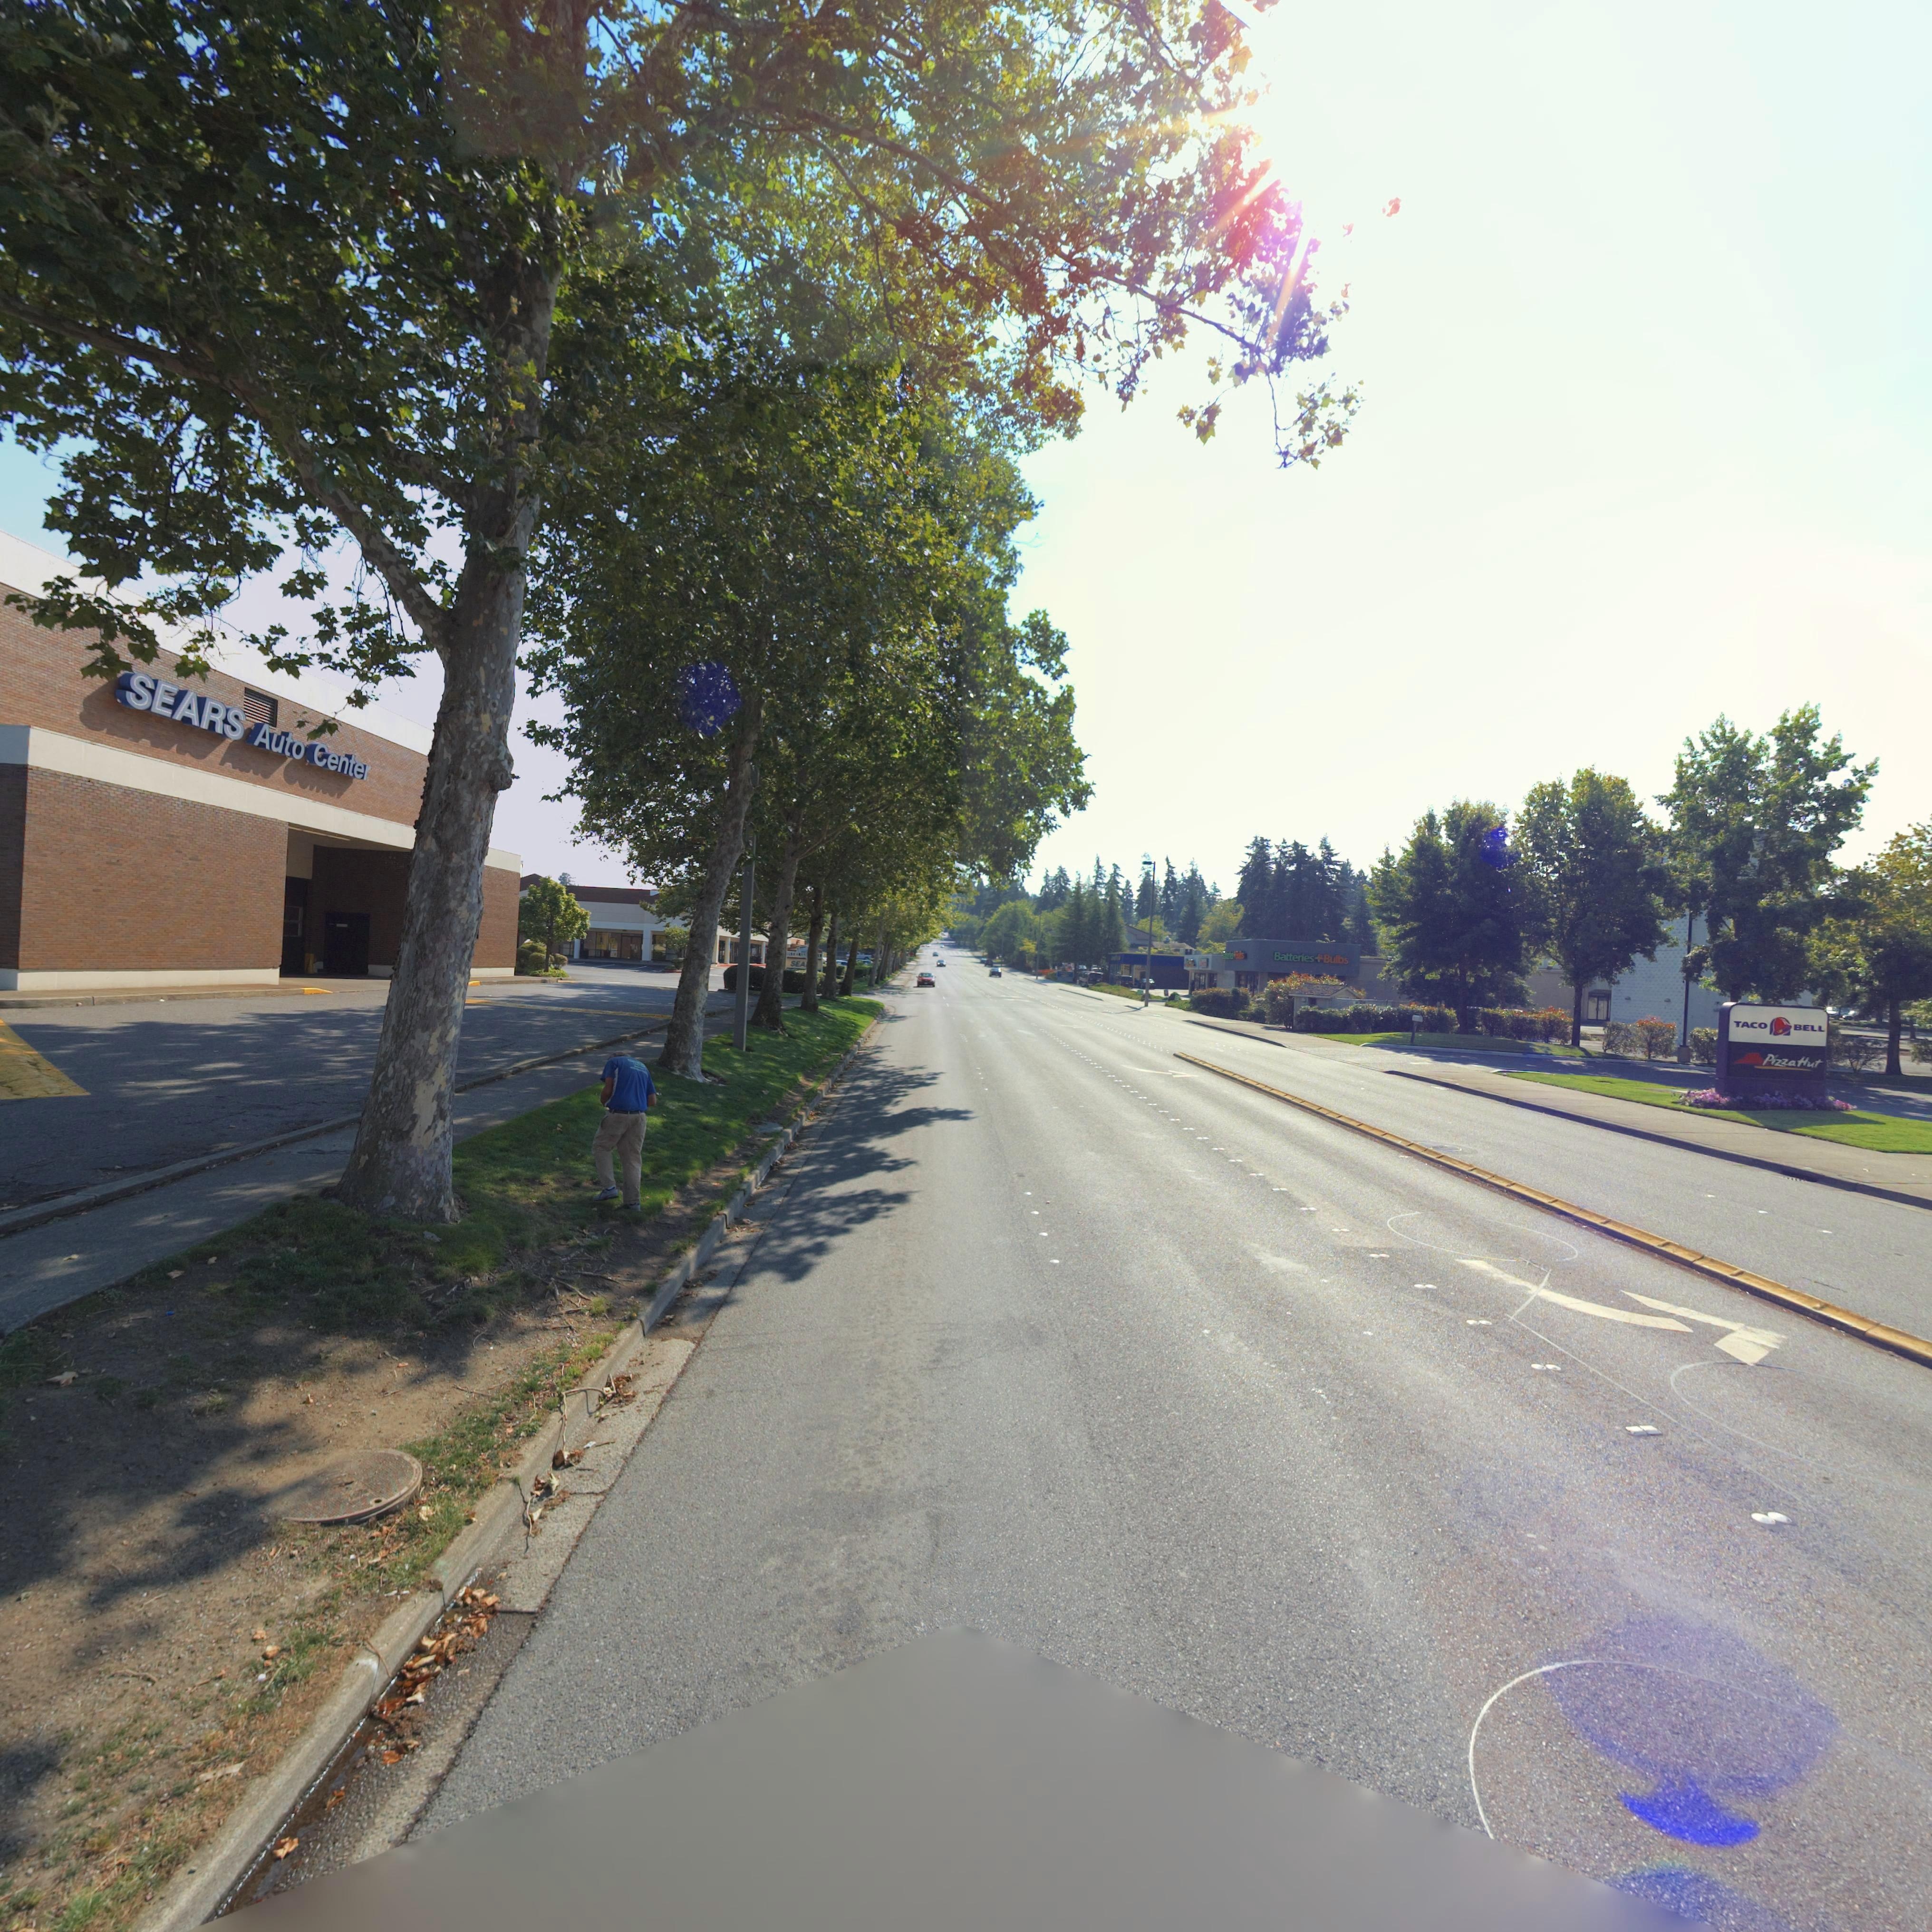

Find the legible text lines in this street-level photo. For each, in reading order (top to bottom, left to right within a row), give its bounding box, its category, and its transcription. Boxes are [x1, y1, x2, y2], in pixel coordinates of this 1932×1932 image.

[123, 671, 373, 783] BusinessName: SEARS Auto Center
[1274, 952, 1348, 964] BusinessName: Batteries*Bulbs
[1732, 1019, 1826, 1033] BusinessName: TACO * BELL
[1760, 1053, 1825, 1069] BusinessName: Pizza Hut